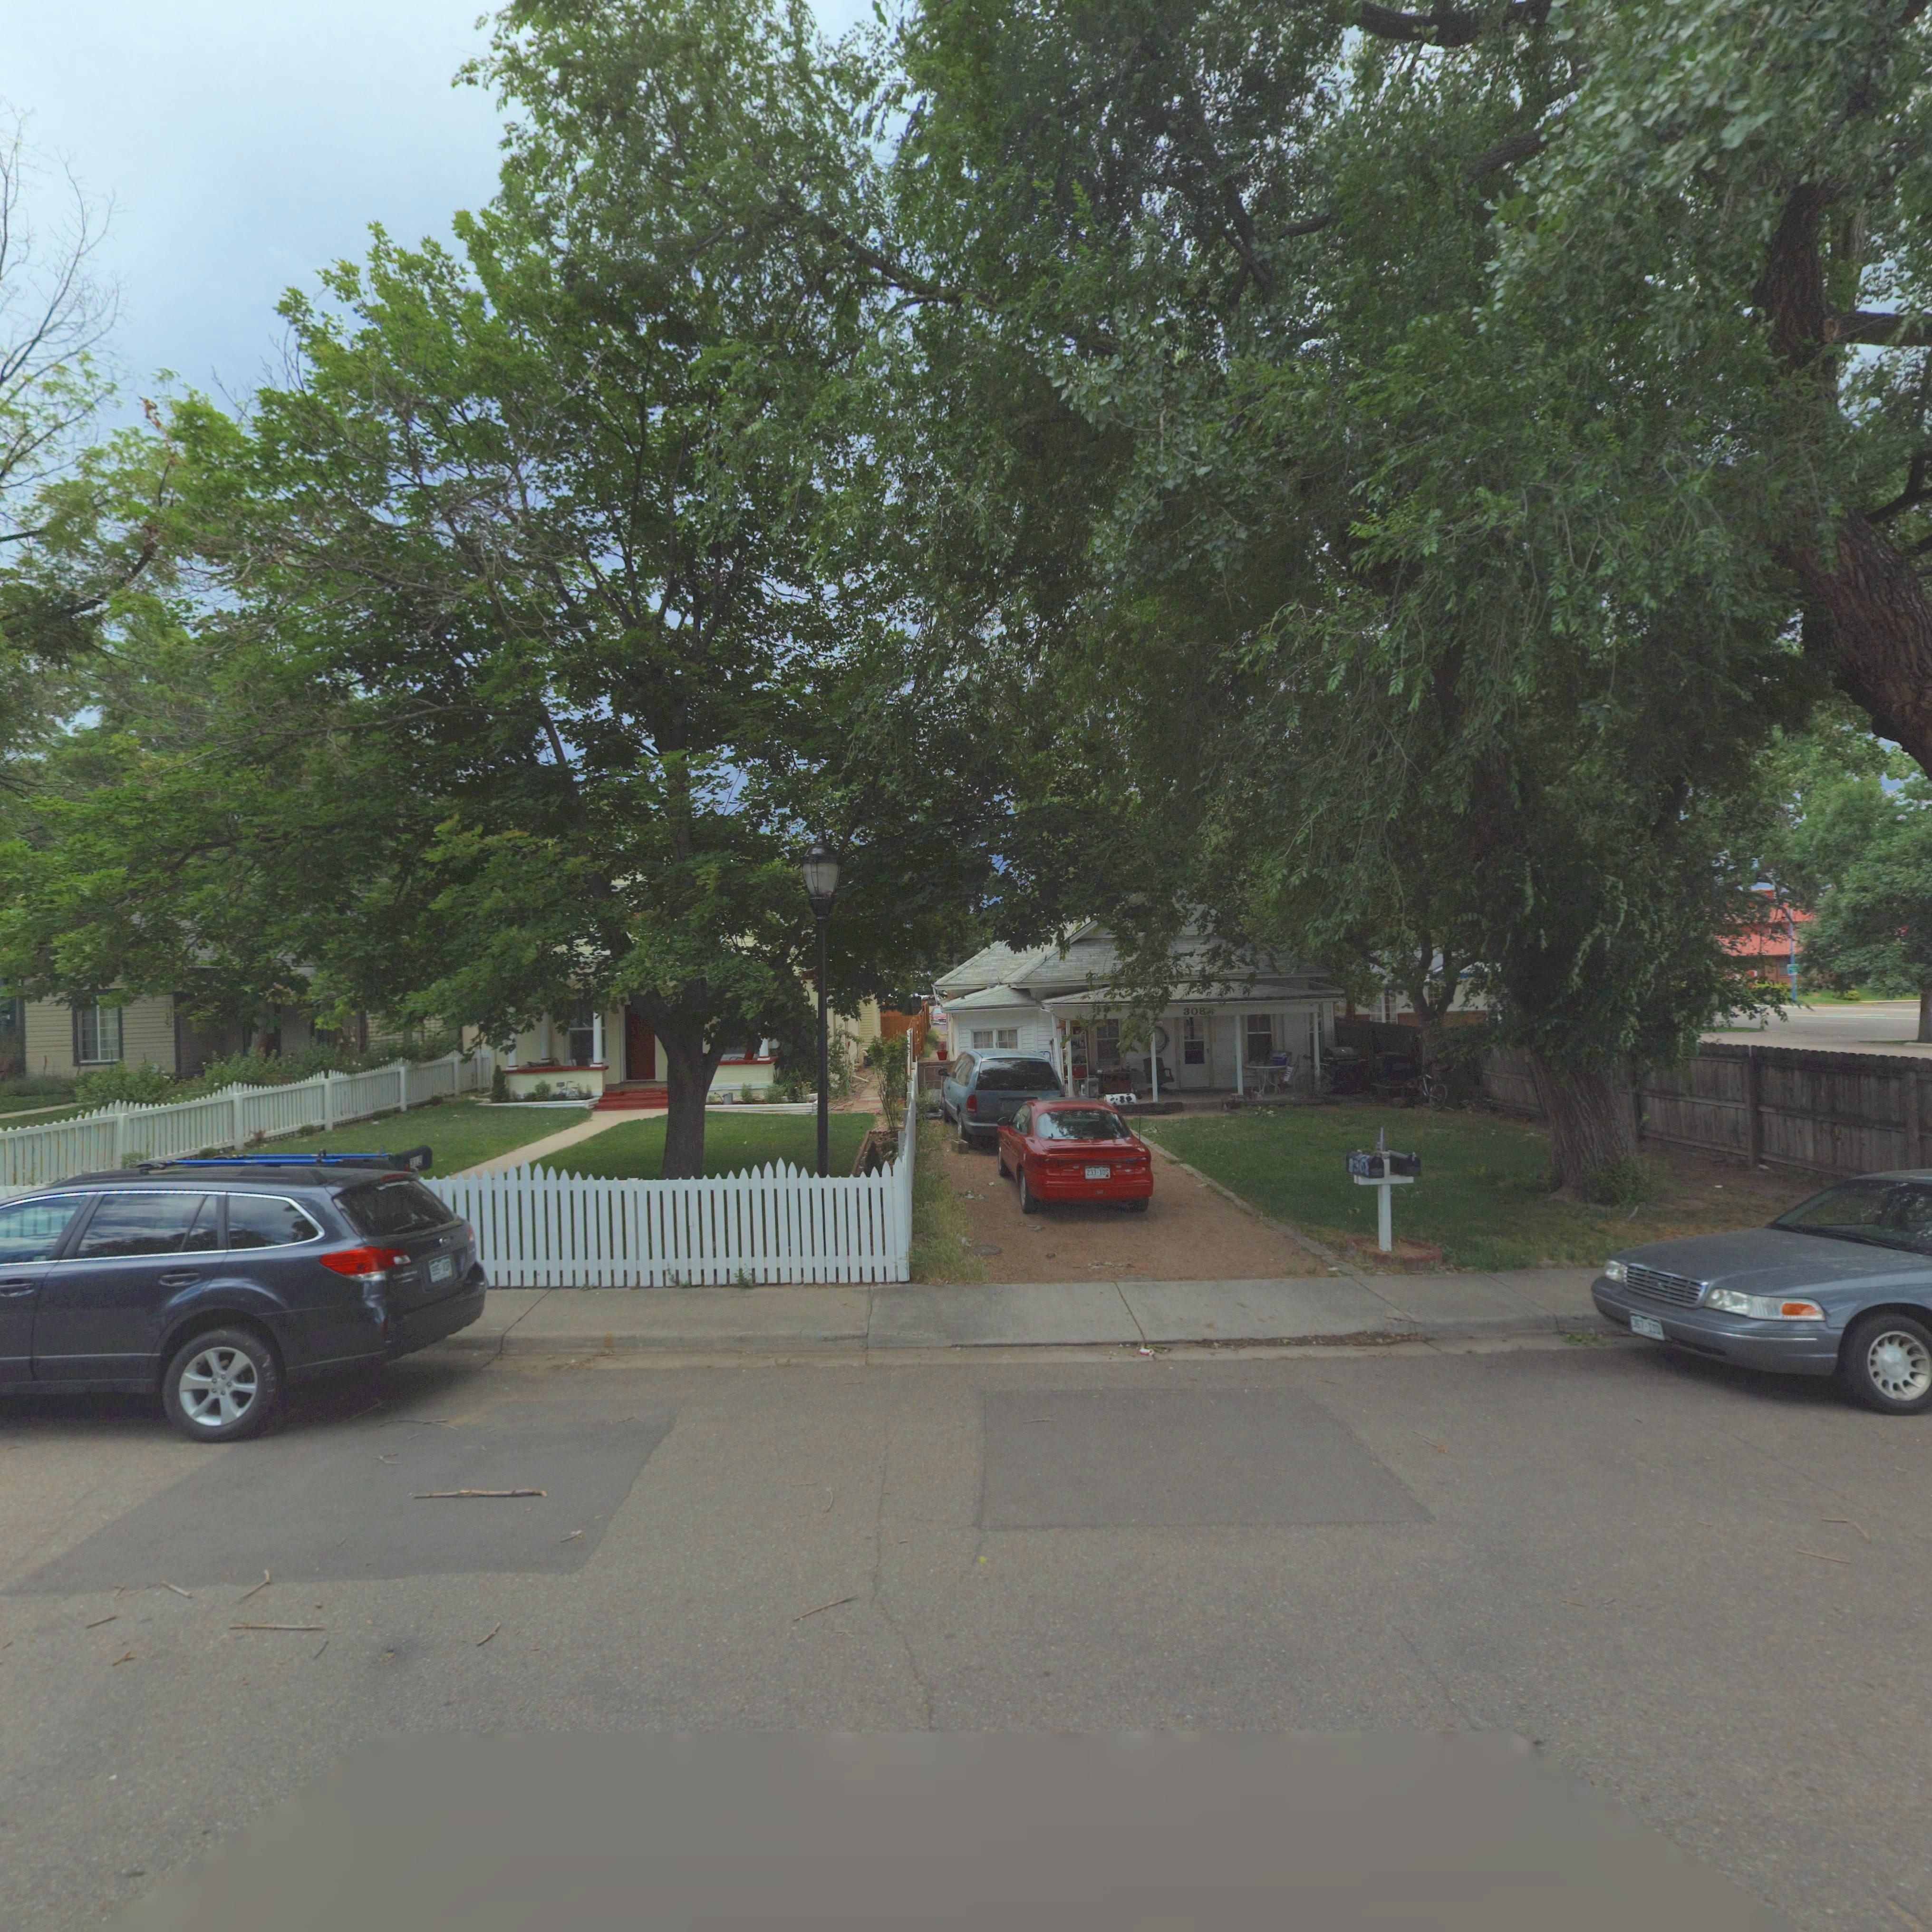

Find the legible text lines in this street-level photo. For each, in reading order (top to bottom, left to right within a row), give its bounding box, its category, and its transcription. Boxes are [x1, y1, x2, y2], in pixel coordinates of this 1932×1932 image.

[1183, 1007, 1206, 1015] StreetNumber: 308
[409, 1155, 422, 1167] StreetNumber: 312
[1347, 1157, 1365, 1174] StreetNumber: 830